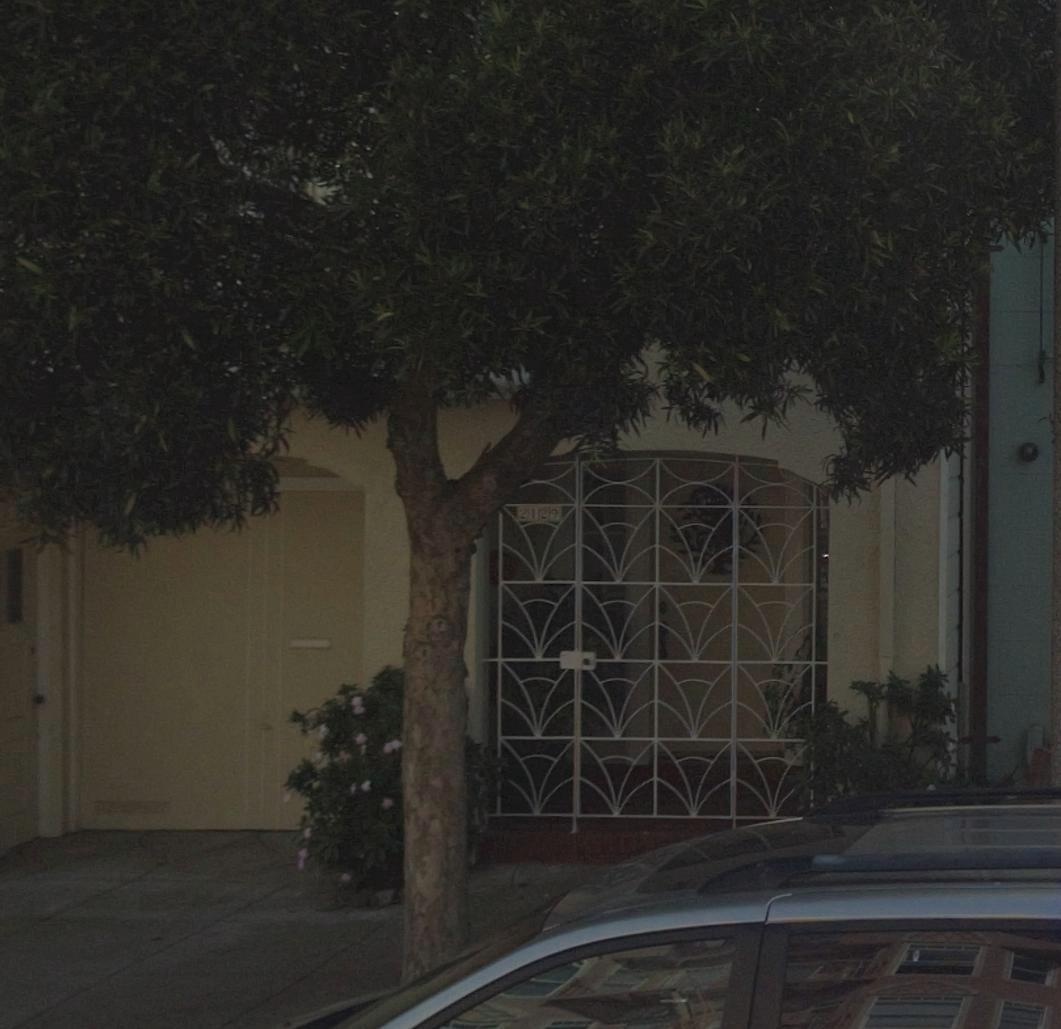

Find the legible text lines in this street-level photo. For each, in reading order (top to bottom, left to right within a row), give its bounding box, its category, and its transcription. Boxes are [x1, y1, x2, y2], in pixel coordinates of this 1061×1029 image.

[517, 506, 560, 521] StreetNumber: 2129